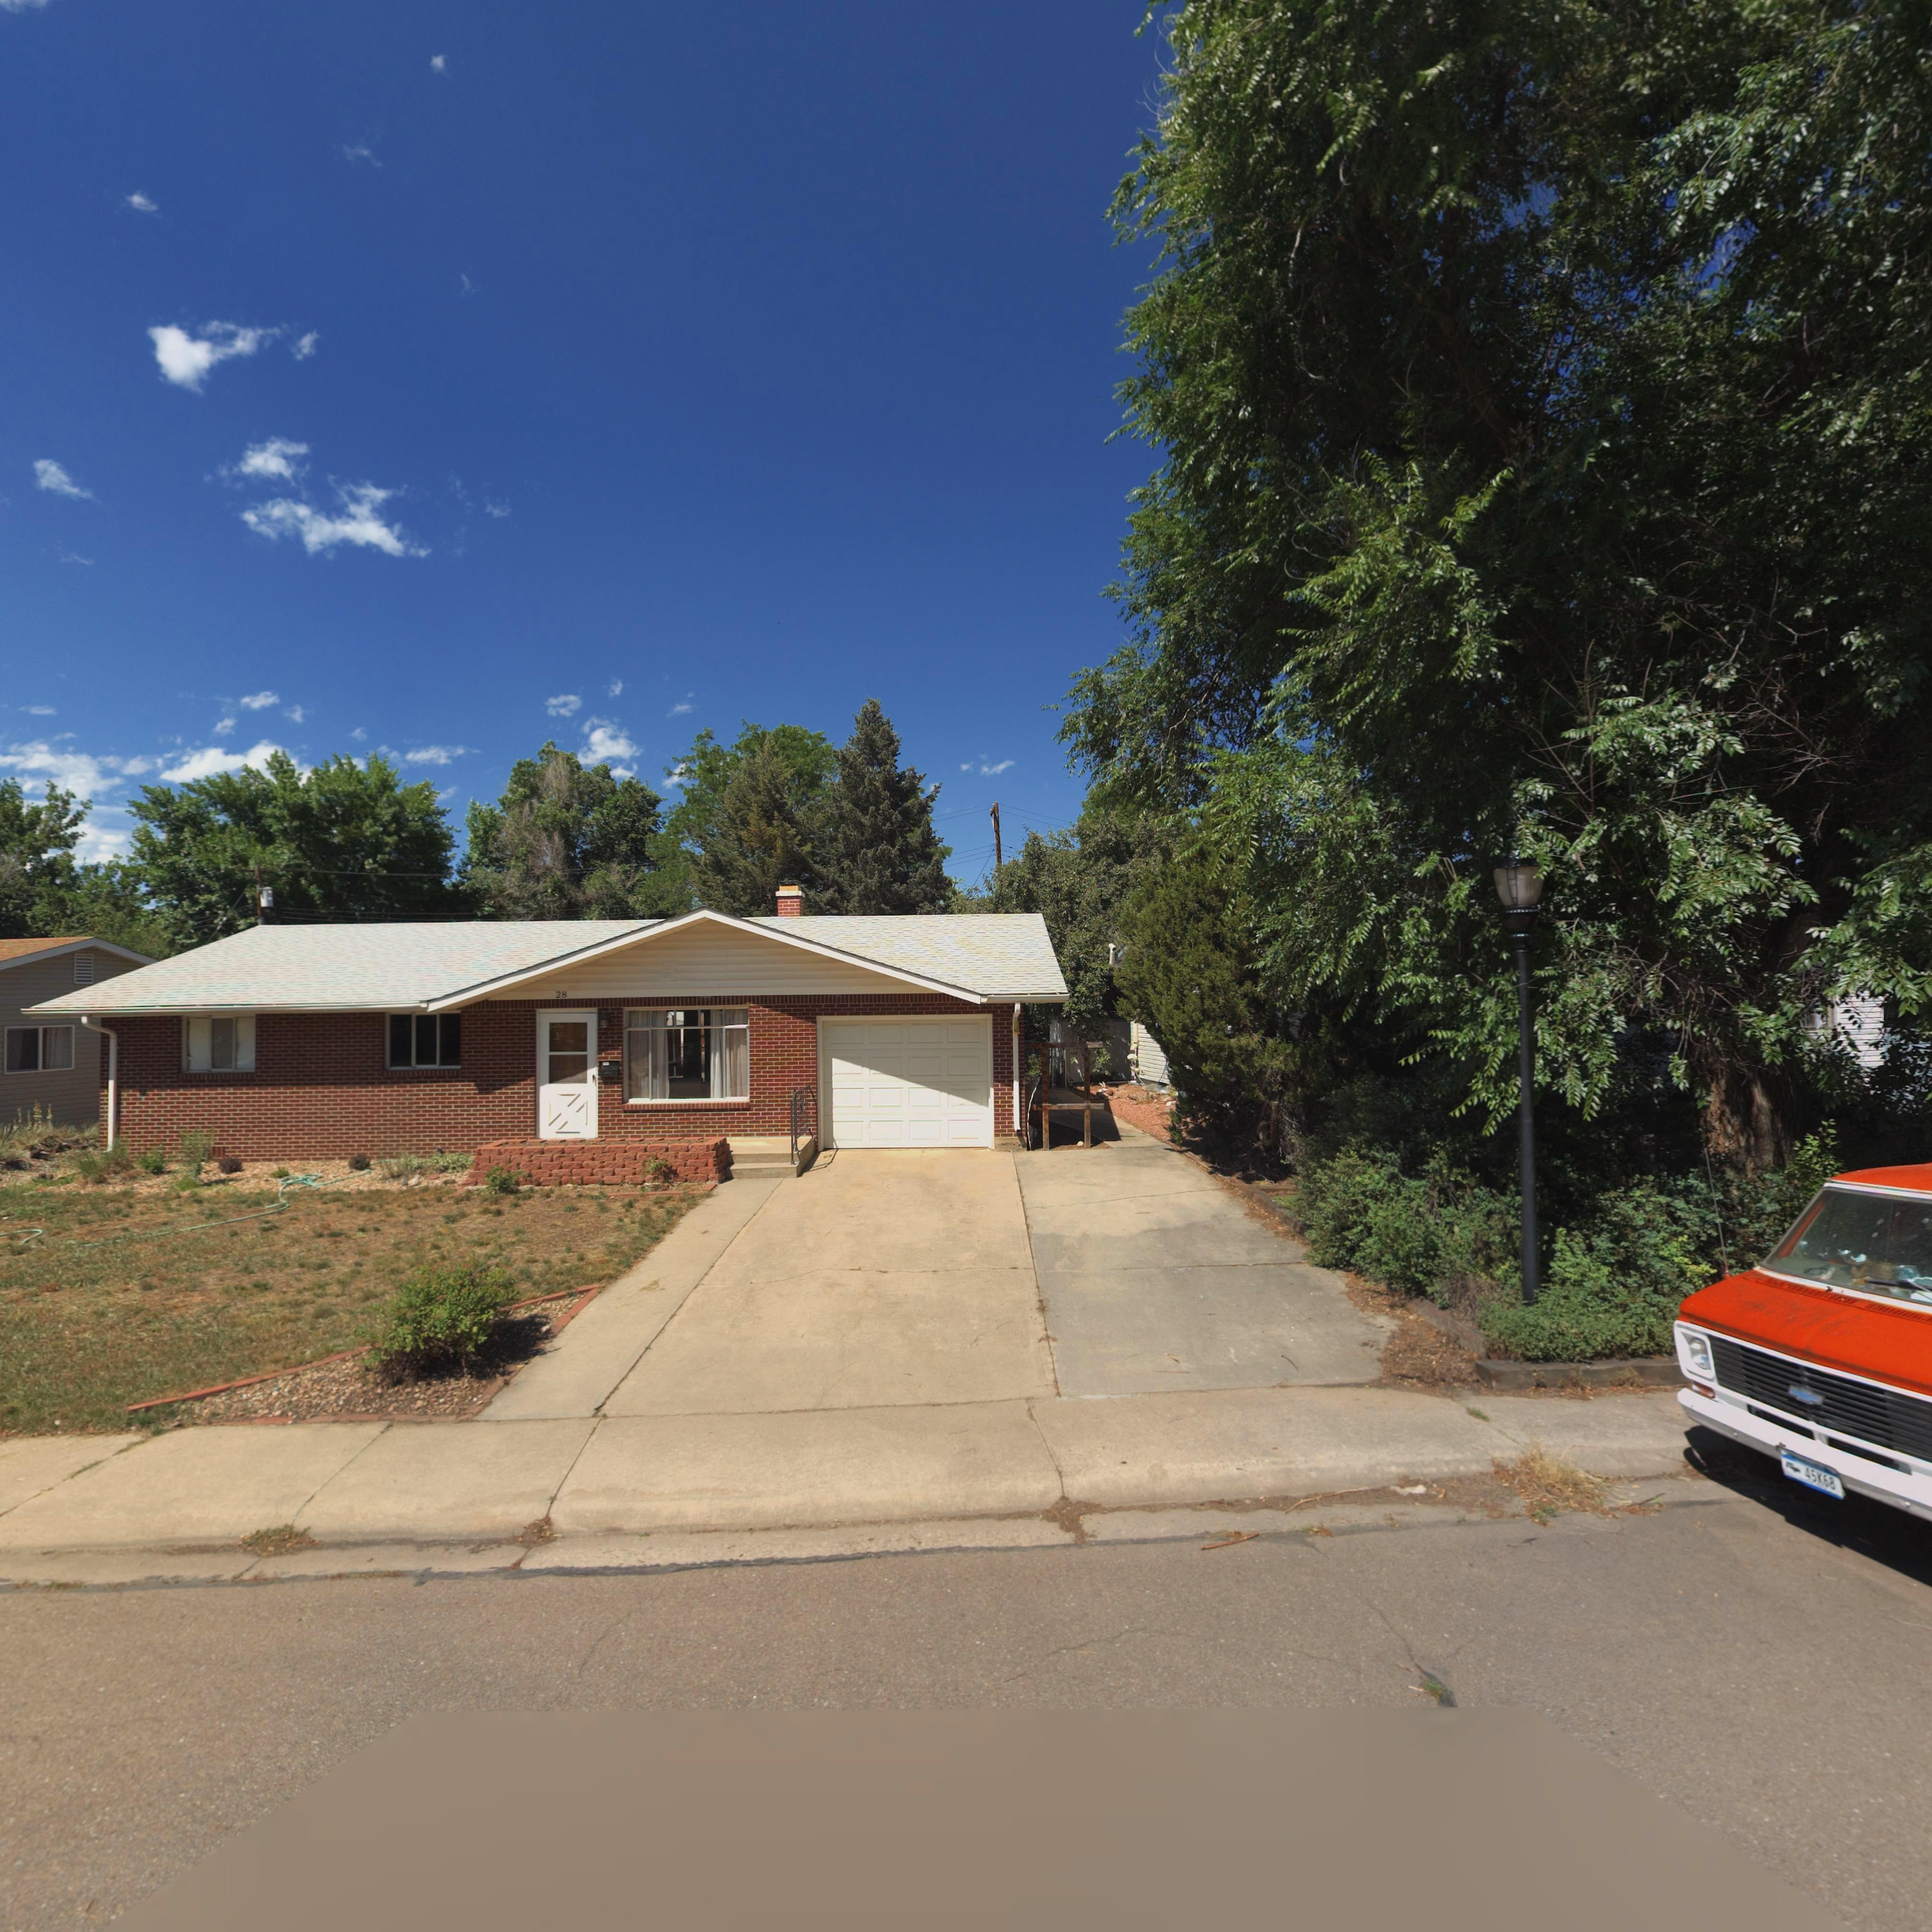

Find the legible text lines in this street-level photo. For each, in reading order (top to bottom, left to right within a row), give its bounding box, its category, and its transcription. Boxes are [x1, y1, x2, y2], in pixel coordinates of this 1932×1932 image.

[555, 990, 567, 998] StreetNumber: 28